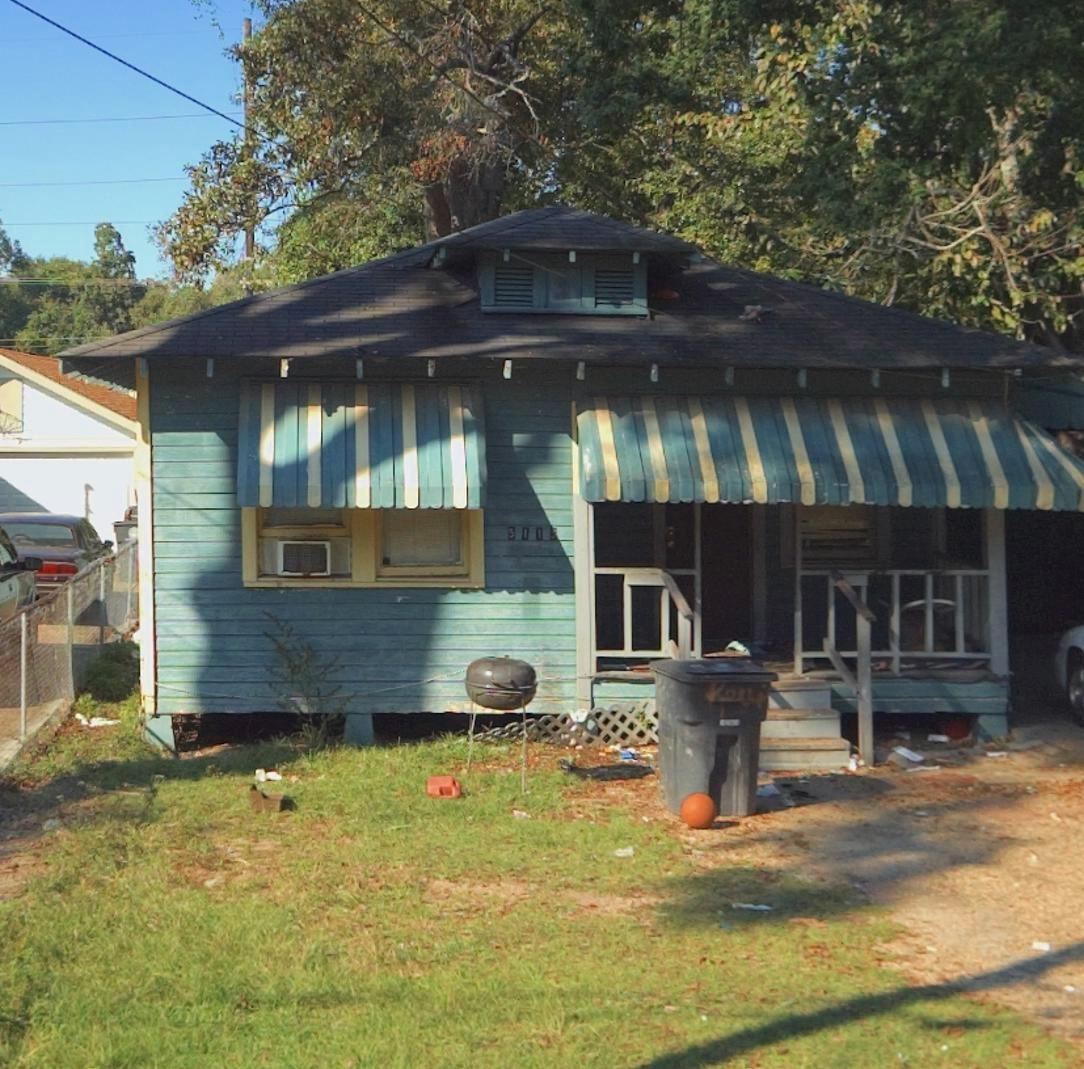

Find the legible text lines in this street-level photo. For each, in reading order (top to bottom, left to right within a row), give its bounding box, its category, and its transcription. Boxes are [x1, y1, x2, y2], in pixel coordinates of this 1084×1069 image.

[508, 526, 557, 540] StreetNumber: 511*